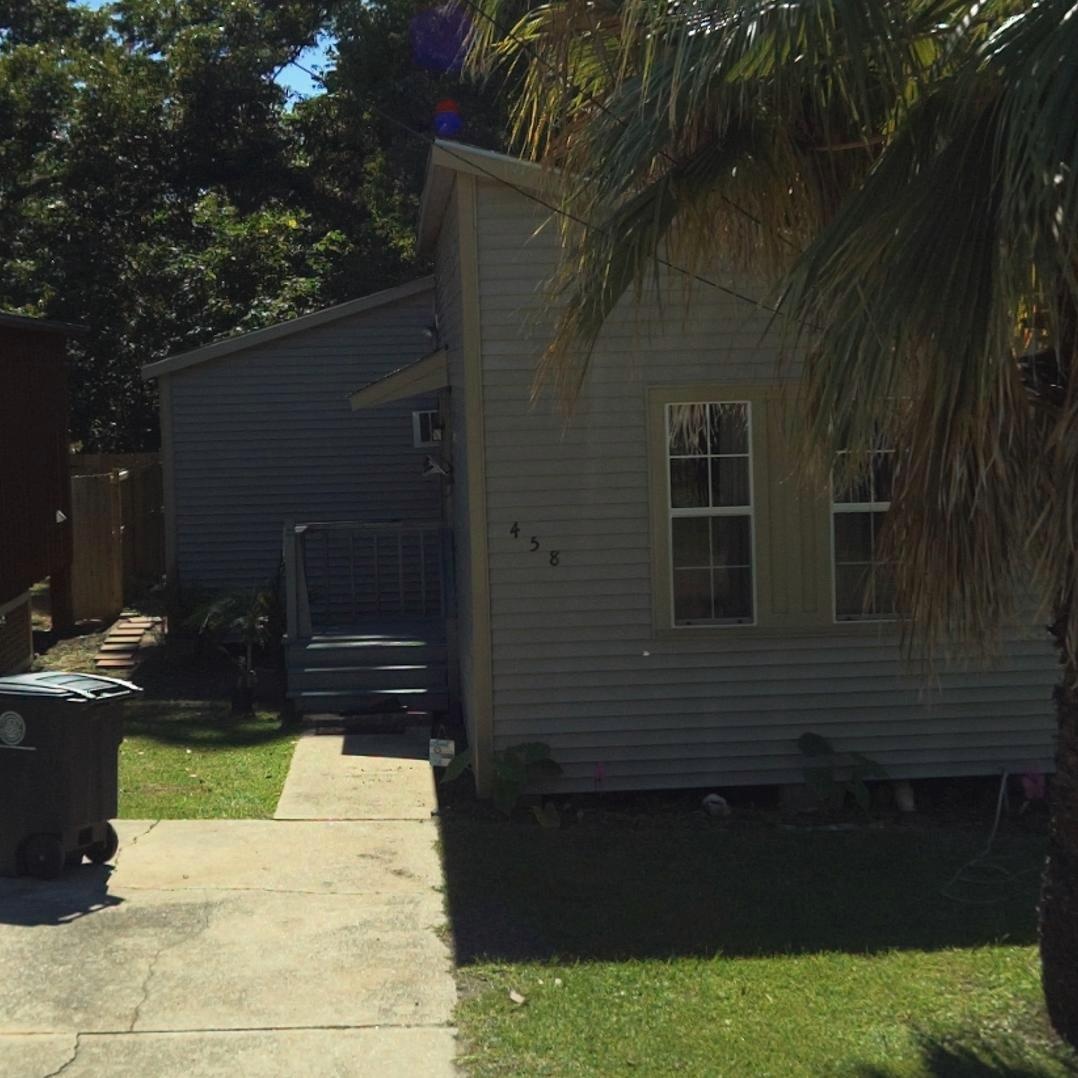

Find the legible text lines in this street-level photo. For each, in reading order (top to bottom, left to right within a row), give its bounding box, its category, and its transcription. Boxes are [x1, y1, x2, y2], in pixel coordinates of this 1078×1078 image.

[507, 519, 562, 568] StreetNumber: 458